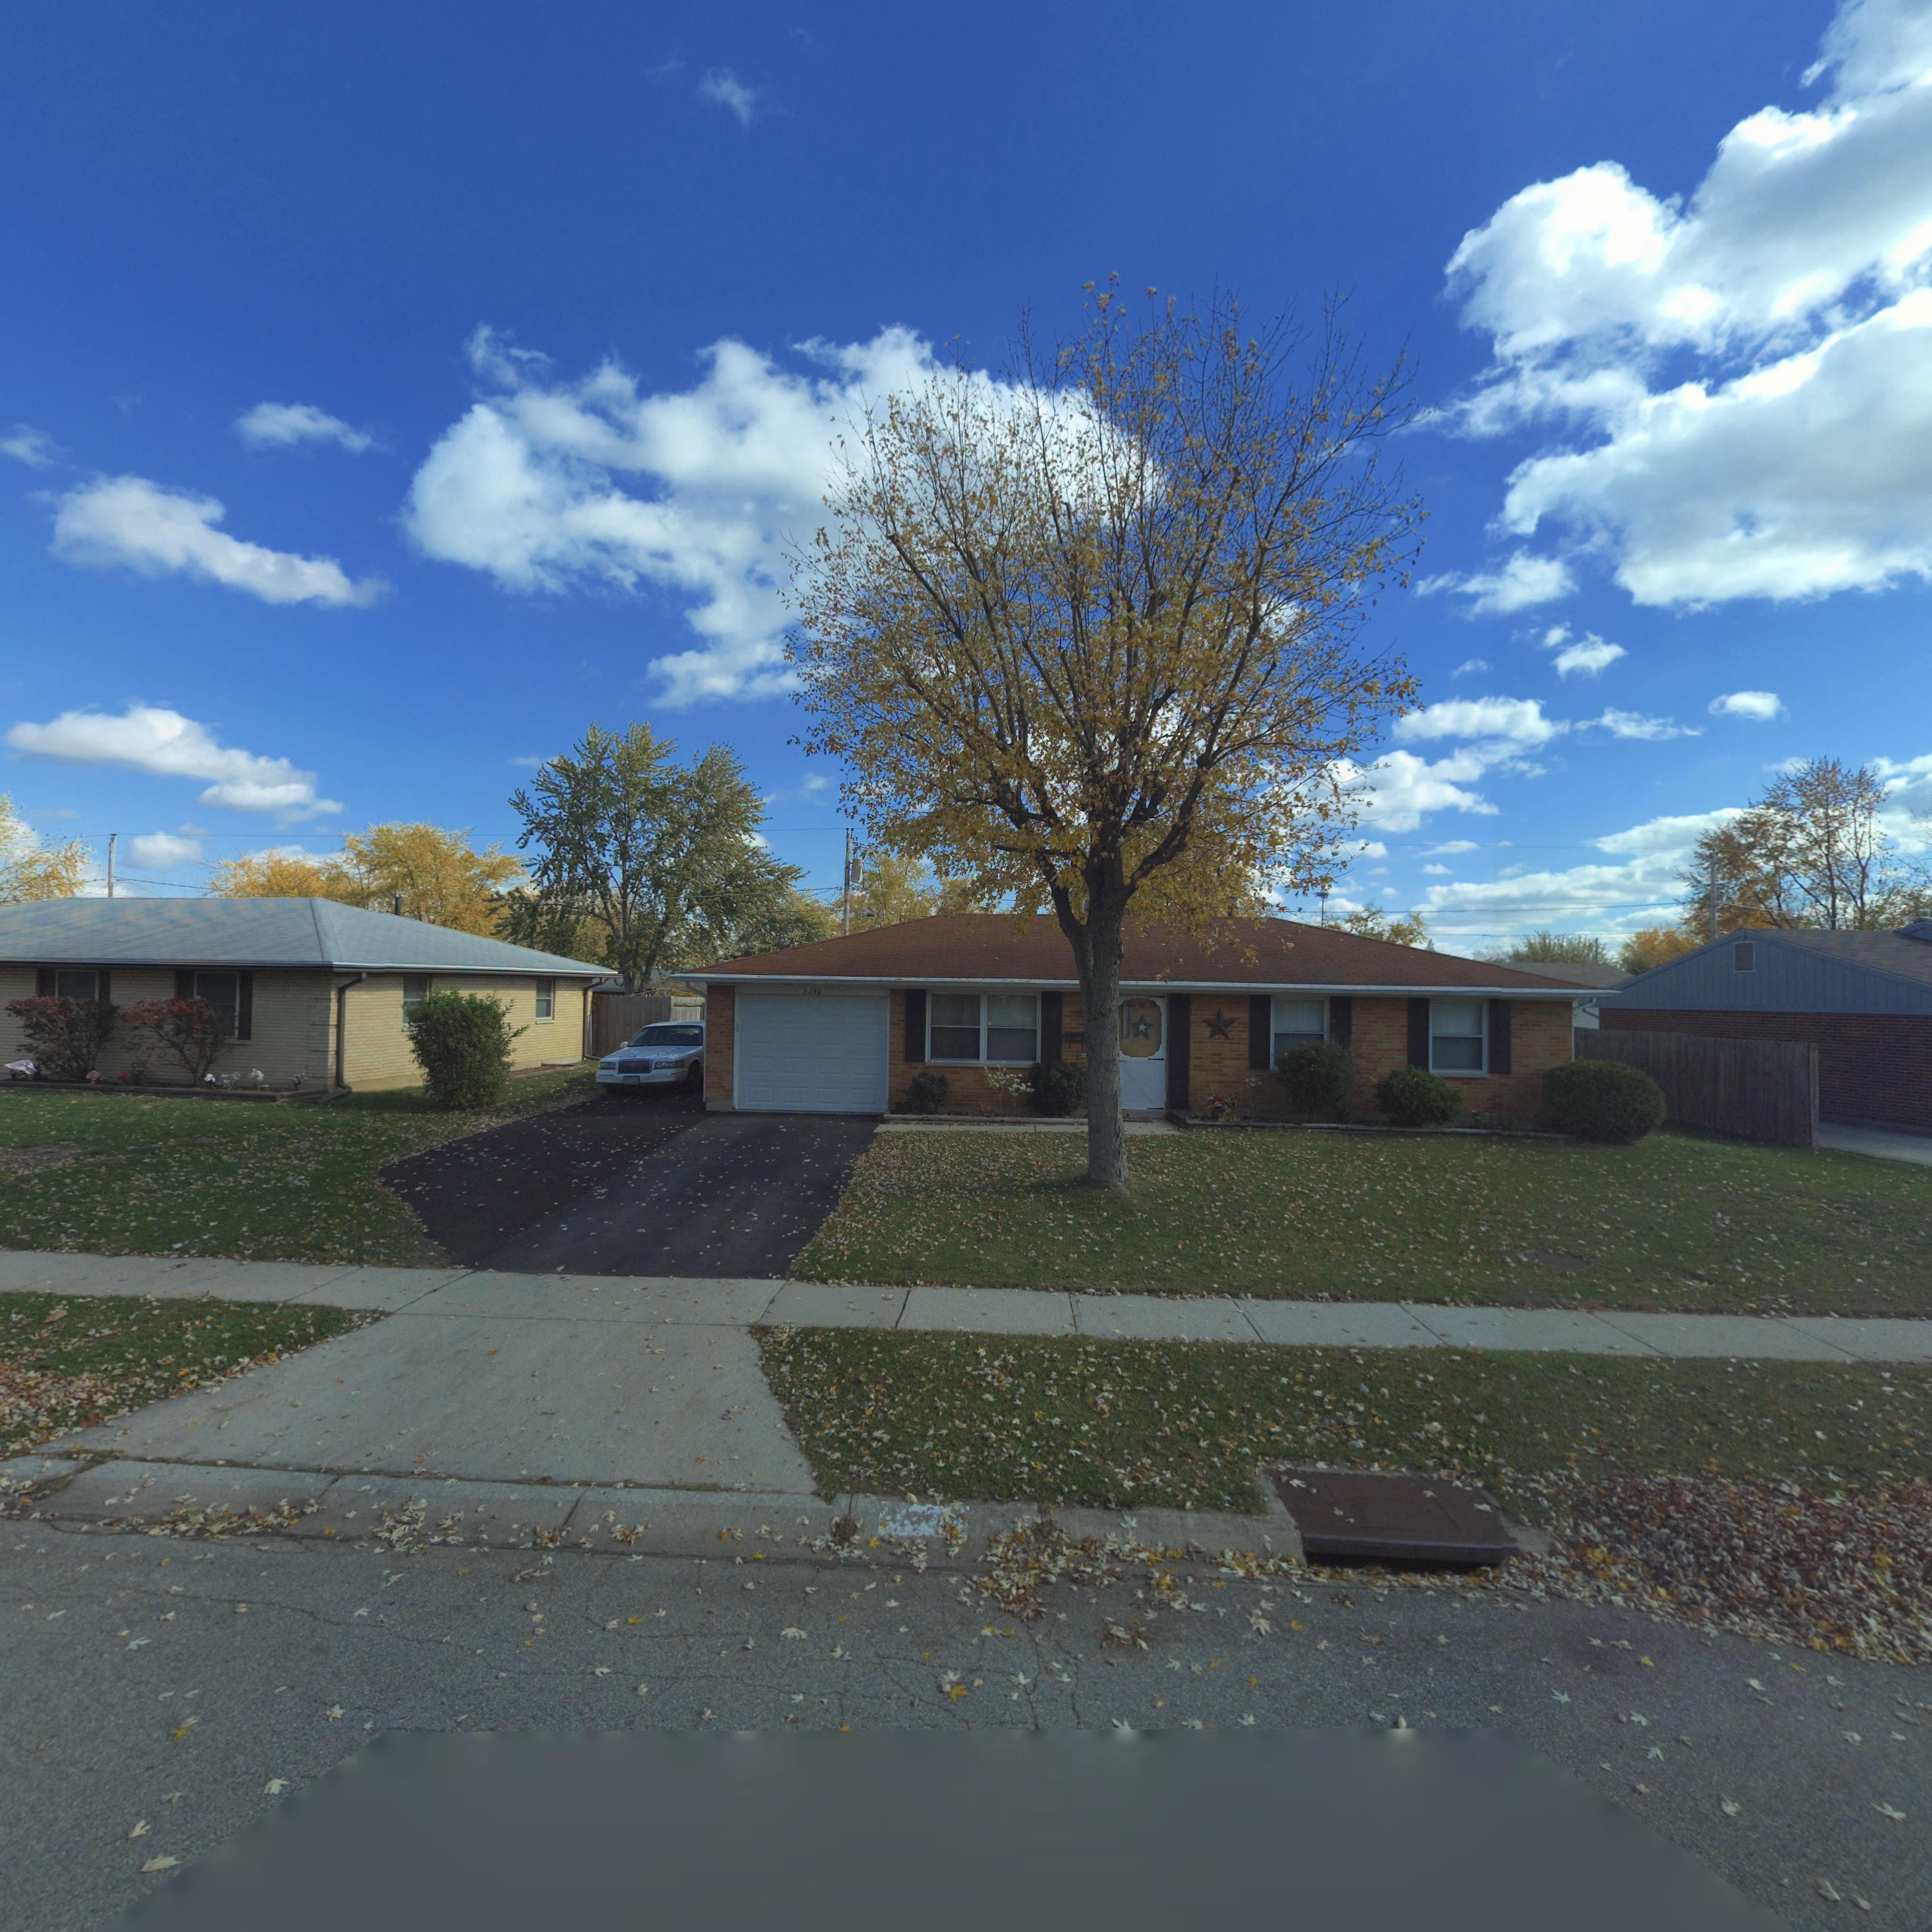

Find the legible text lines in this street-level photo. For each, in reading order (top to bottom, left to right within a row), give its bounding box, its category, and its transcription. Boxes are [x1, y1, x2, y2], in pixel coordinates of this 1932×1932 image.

[803, 988, 822, 995] StreetNumber: 7*90